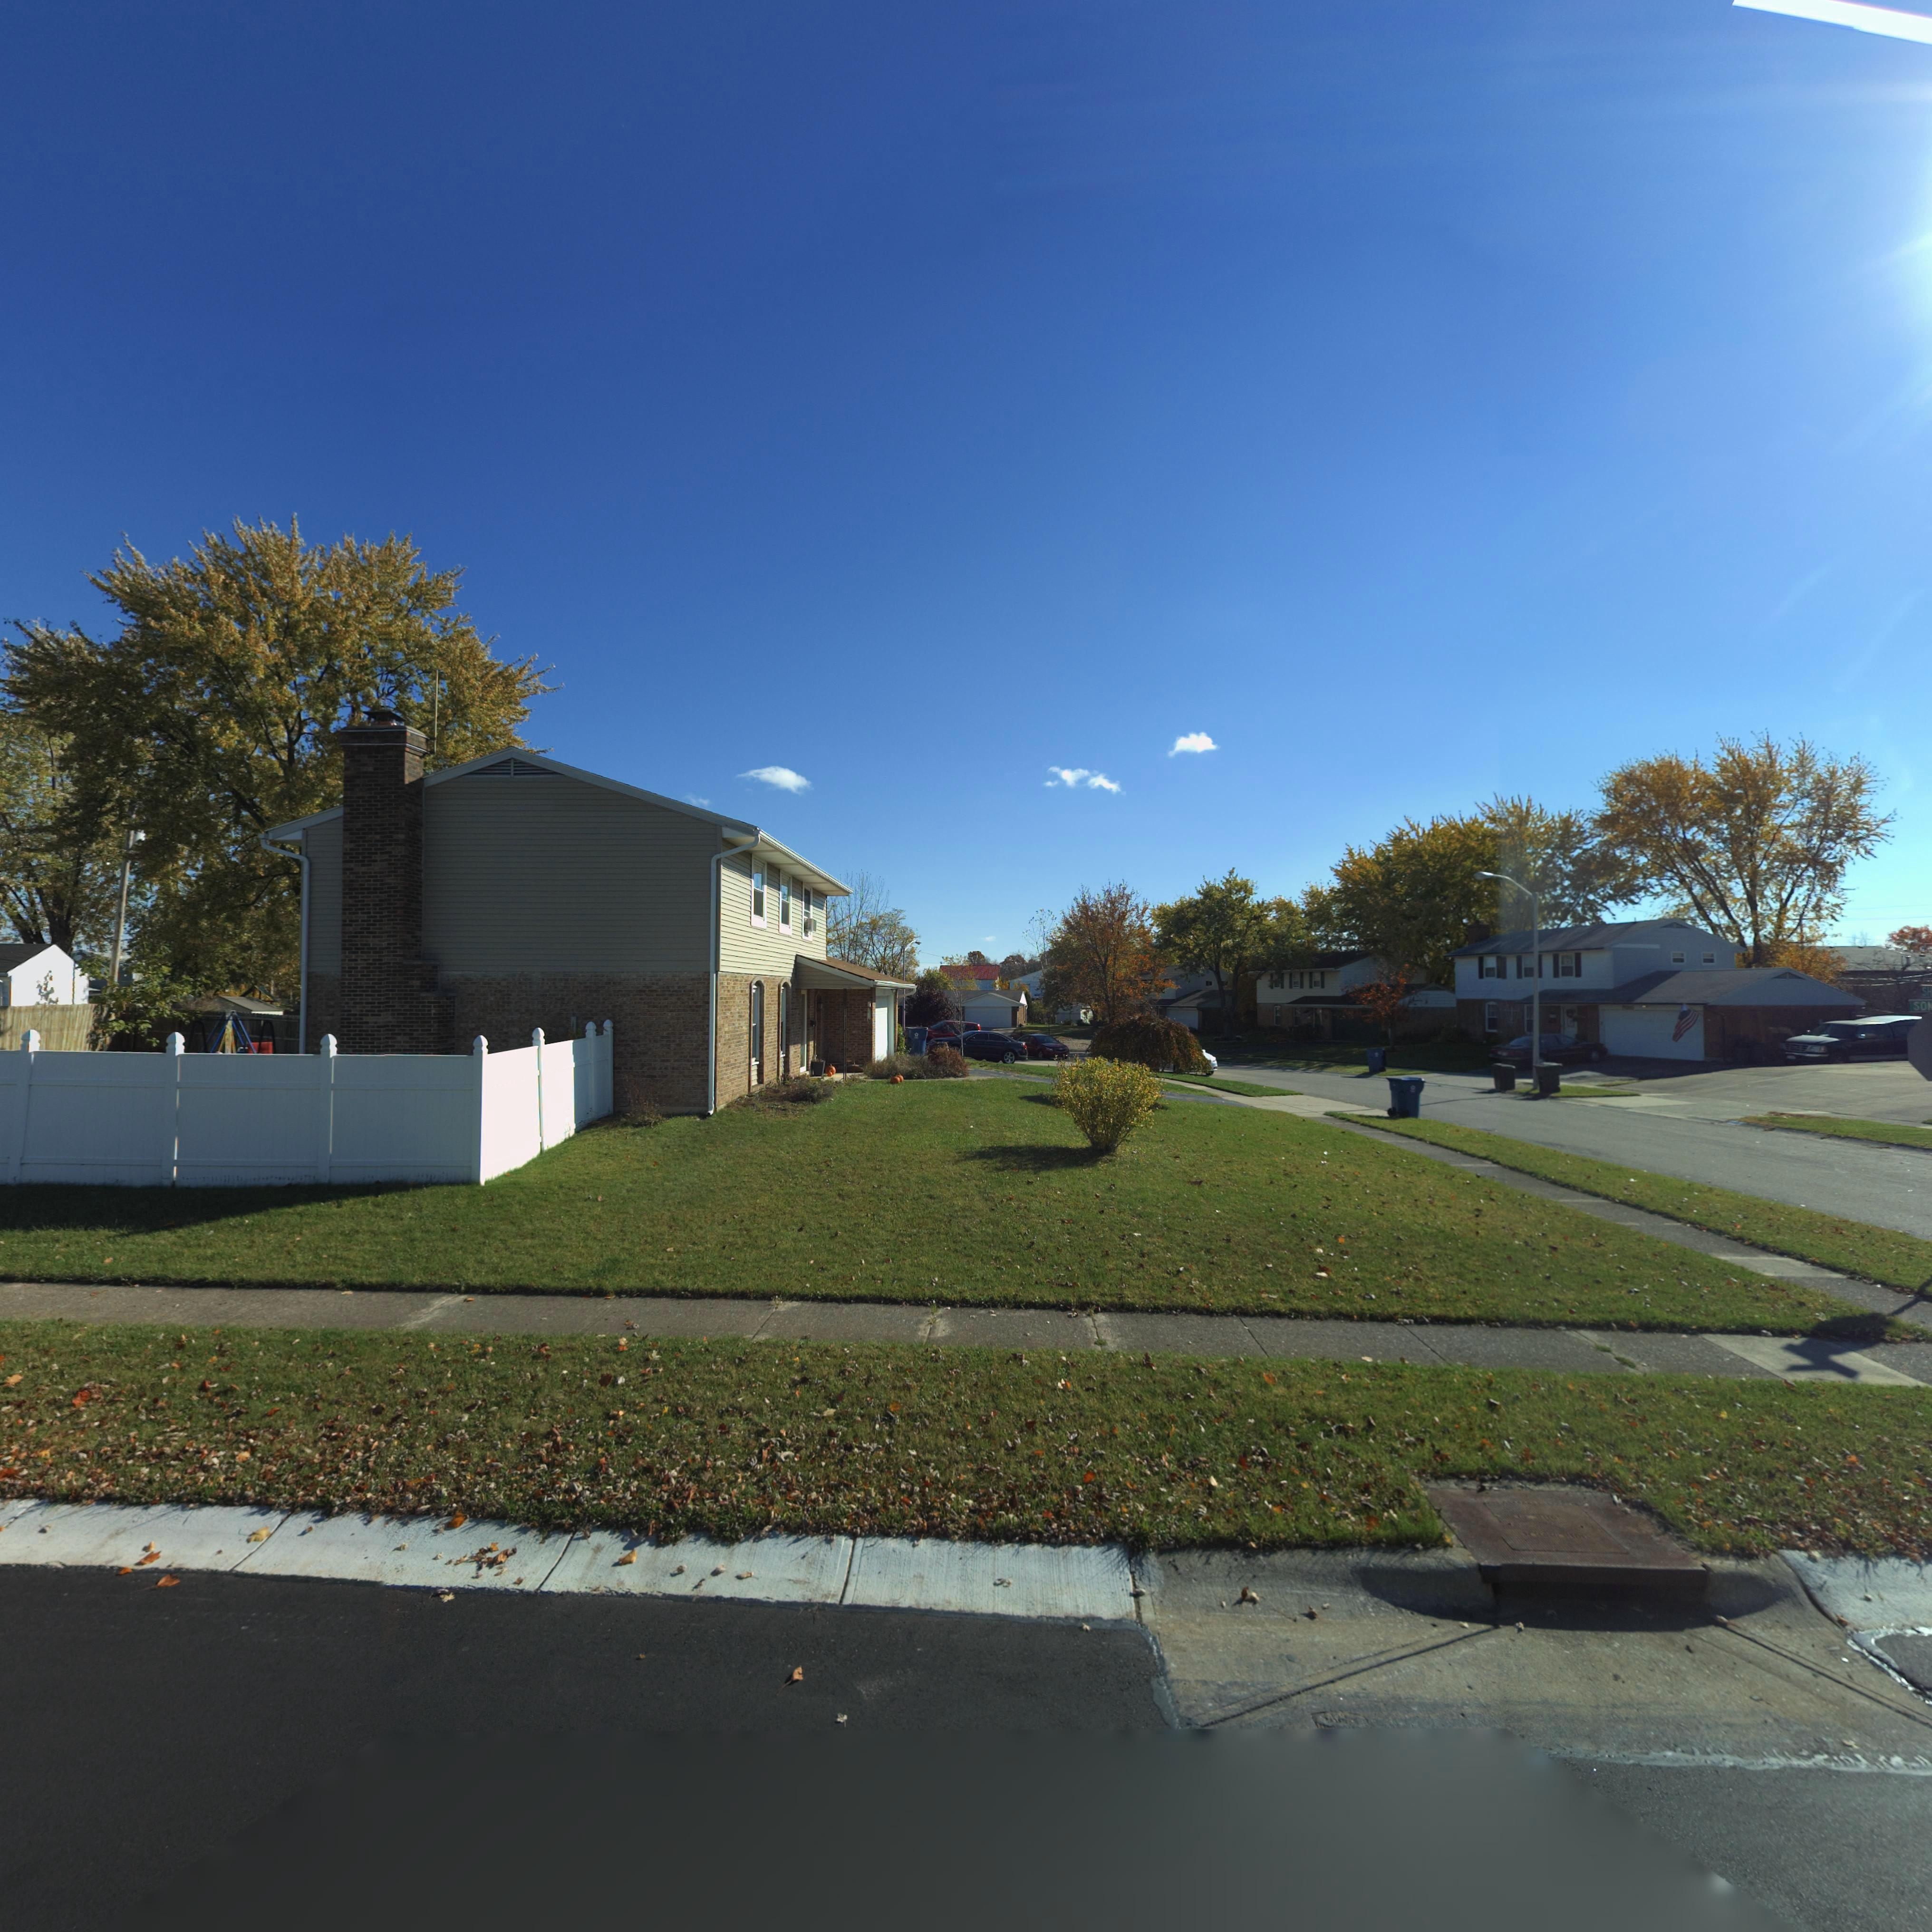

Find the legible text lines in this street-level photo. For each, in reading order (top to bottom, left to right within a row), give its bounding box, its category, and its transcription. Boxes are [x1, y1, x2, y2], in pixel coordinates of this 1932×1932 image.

[1621, 1005, 1634, 1011] StreetNumber: 70*0